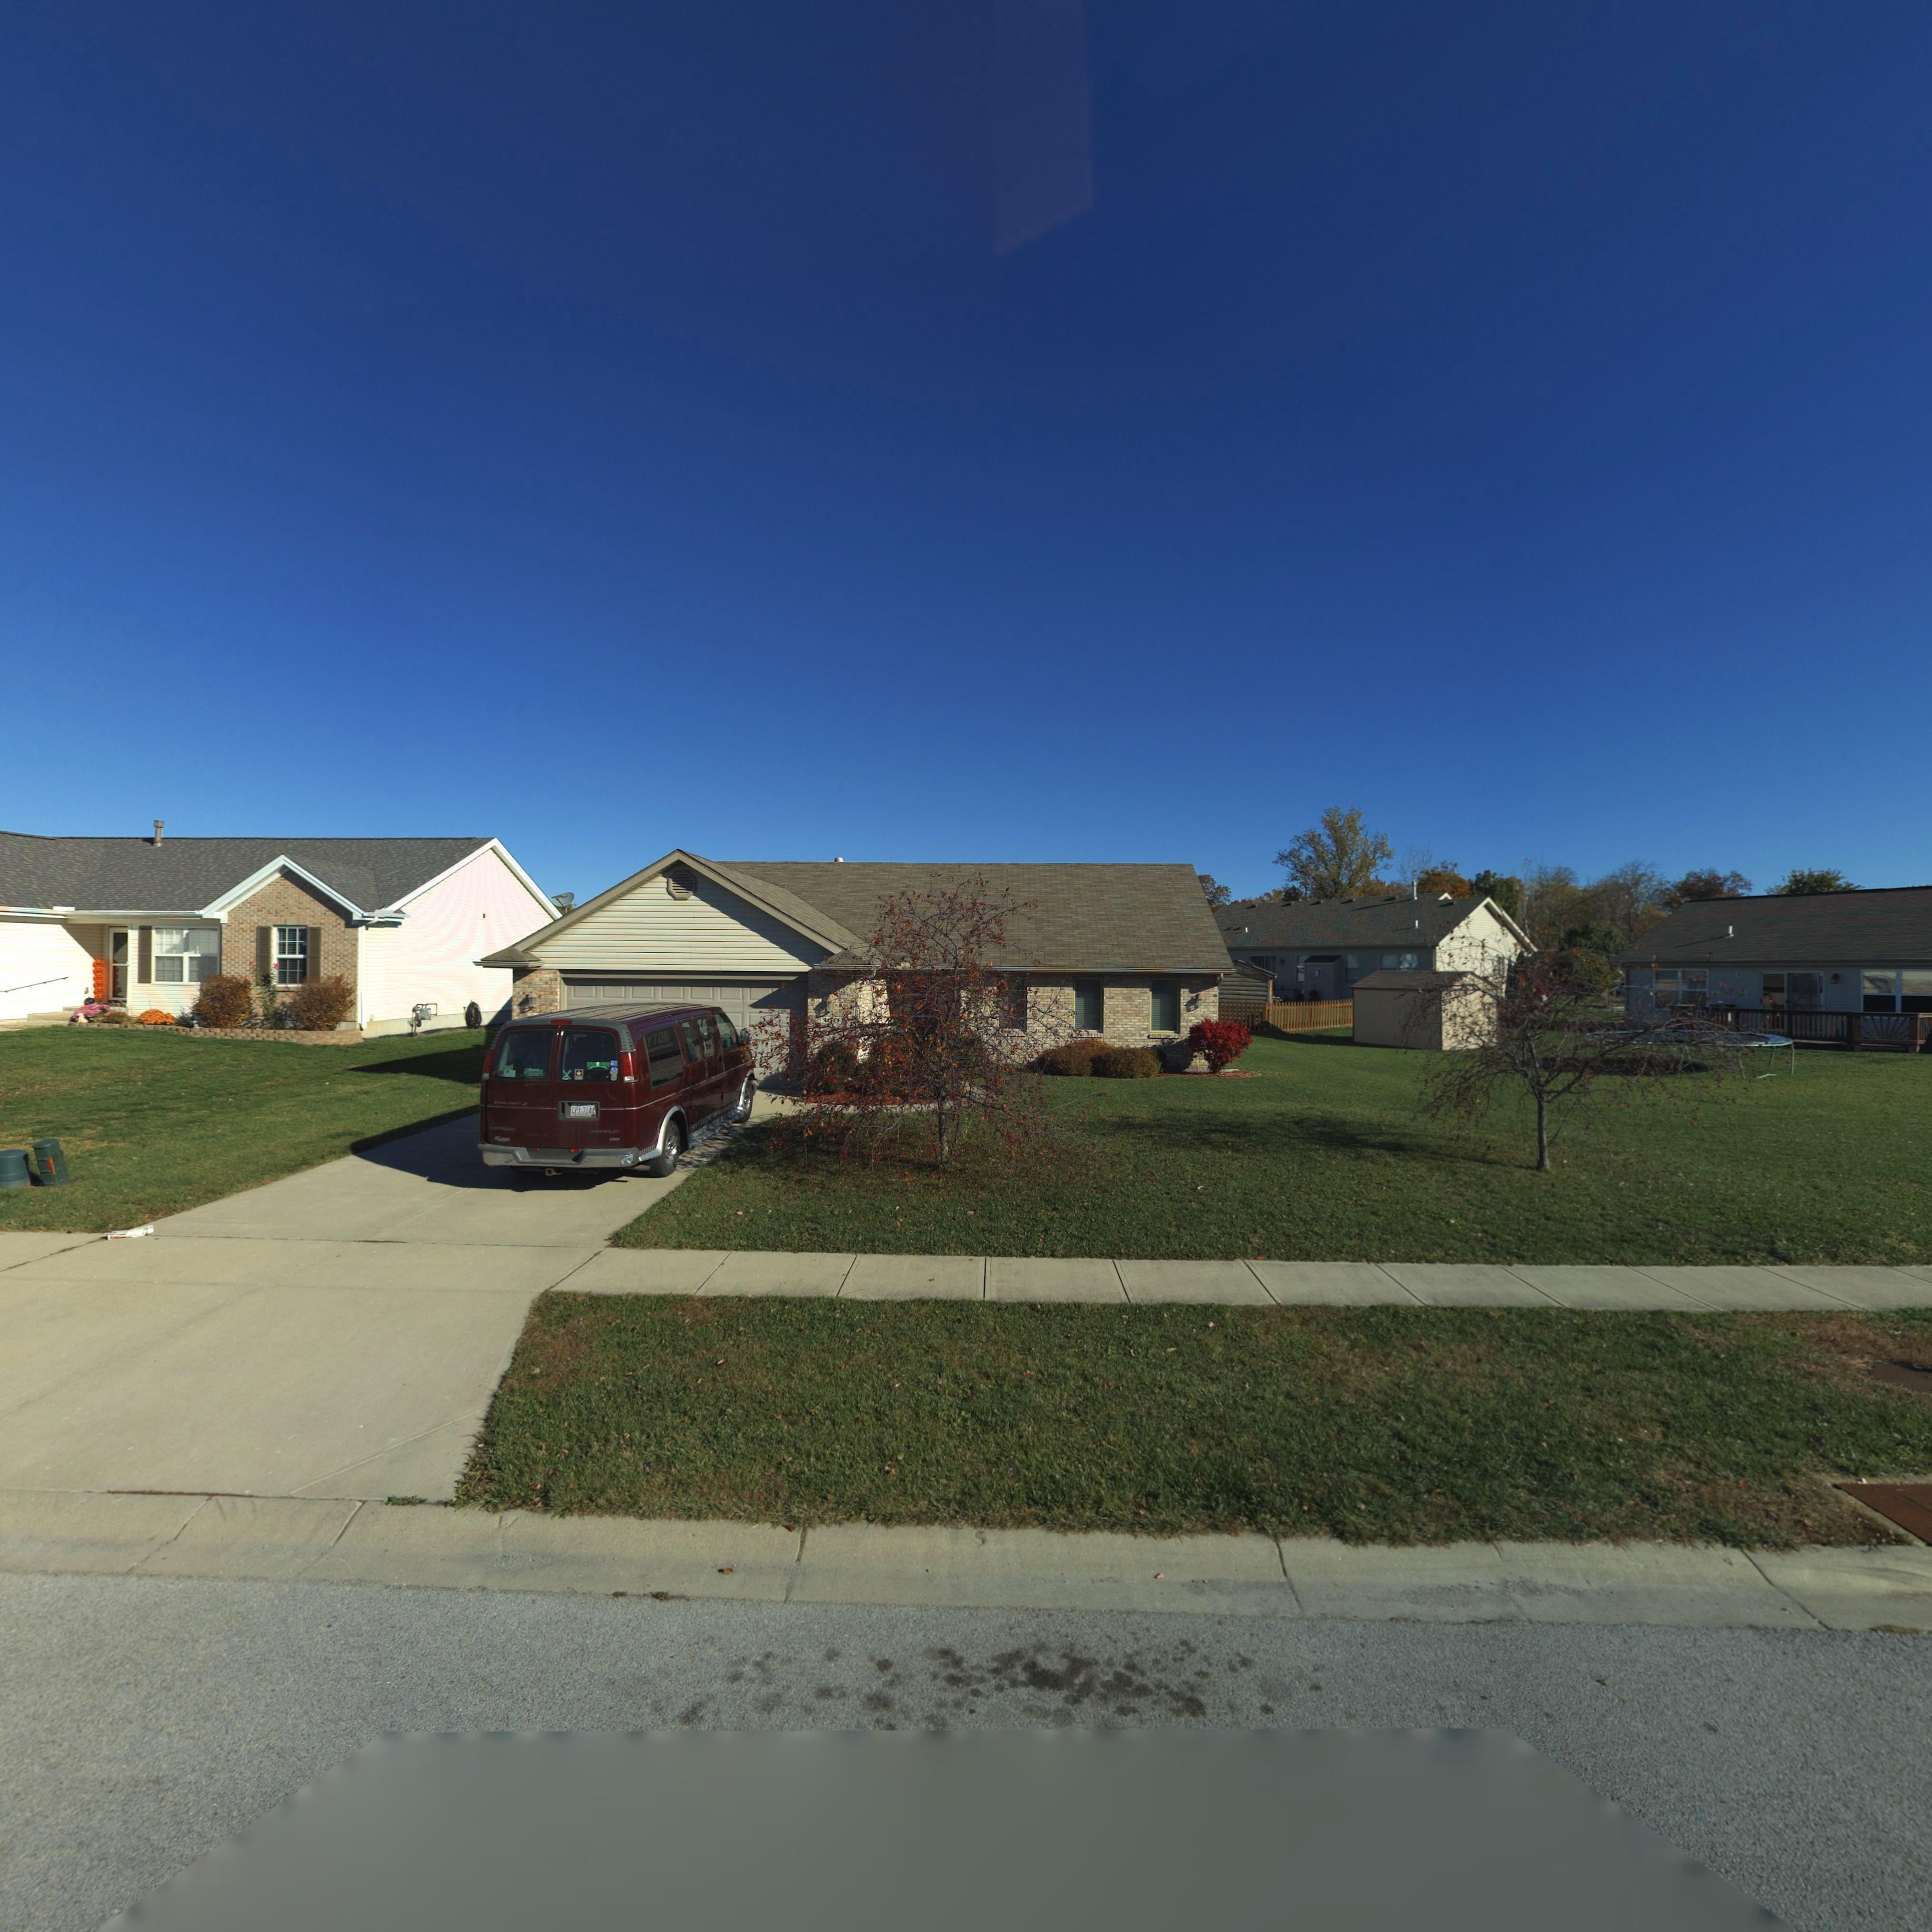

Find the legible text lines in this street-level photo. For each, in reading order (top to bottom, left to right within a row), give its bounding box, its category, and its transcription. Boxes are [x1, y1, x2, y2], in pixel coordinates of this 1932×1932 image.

[822, 1017, 840, 1023] StreetNumber: 160